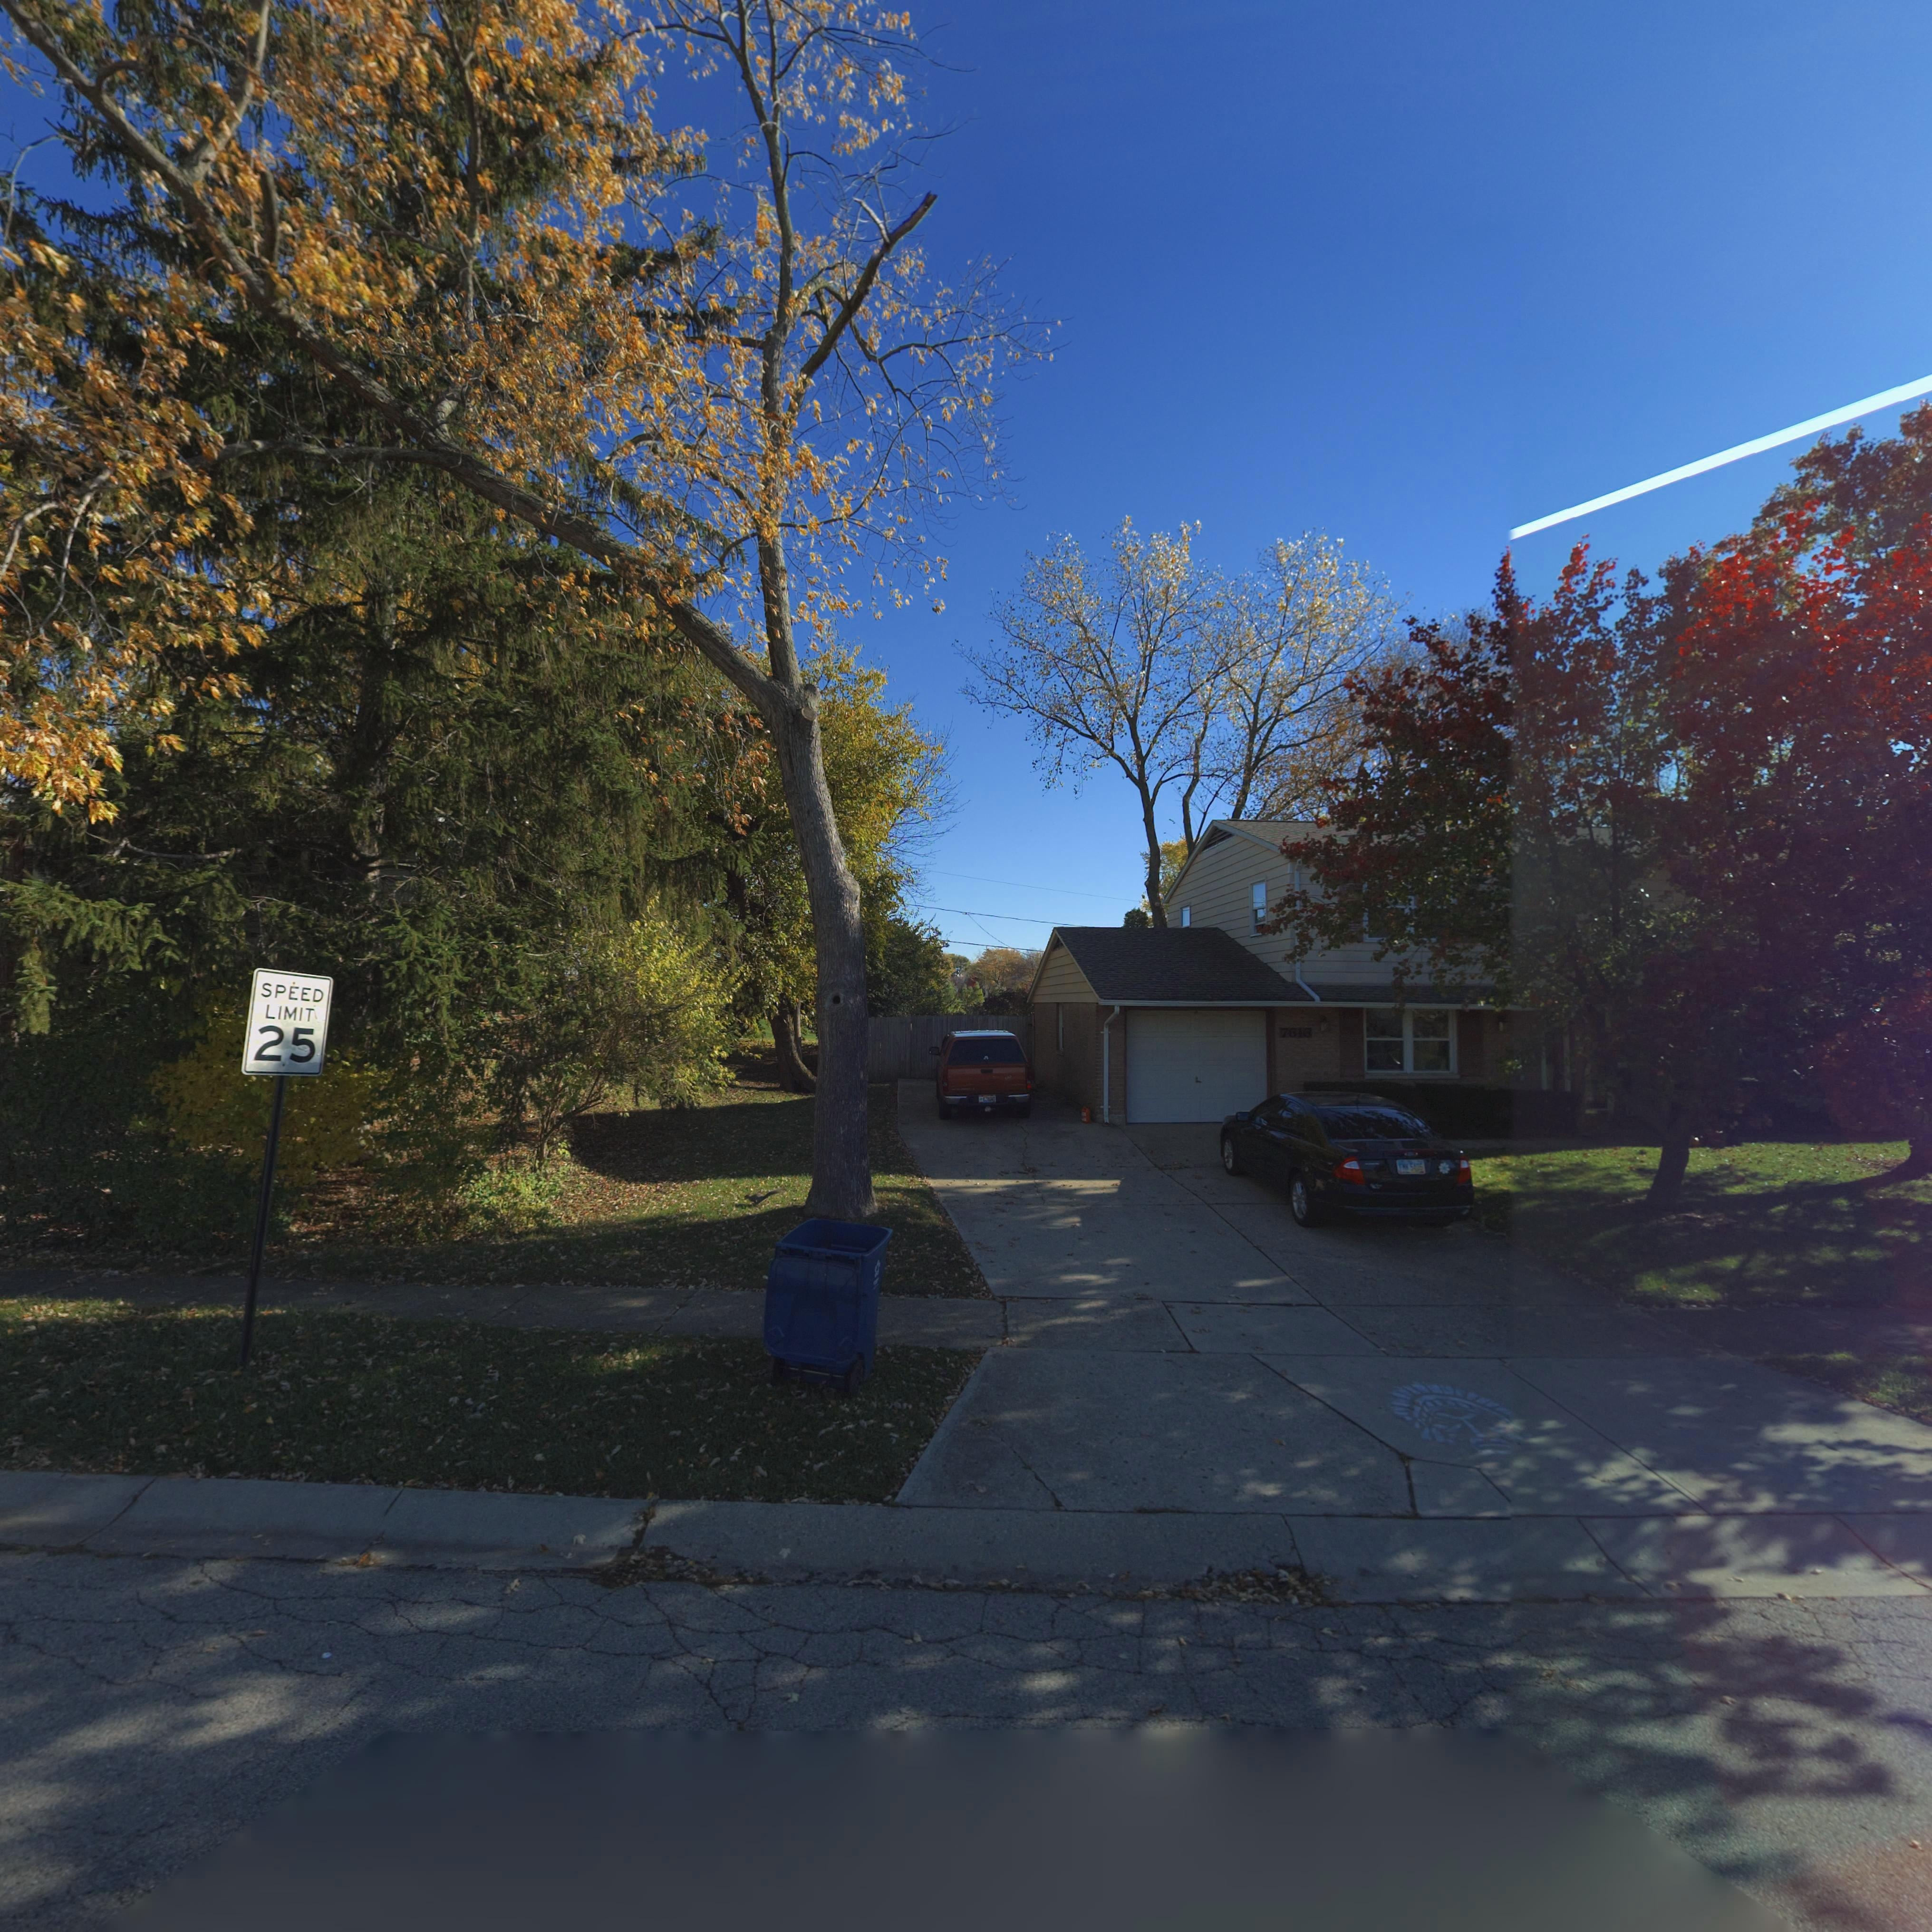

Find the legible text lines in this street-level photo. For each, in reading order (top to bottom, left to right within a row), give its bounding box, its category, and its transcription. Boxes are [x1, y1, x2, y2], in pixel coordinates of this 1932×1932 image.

[1280, 1027, 1312, 1038] StreetNumber: 7616